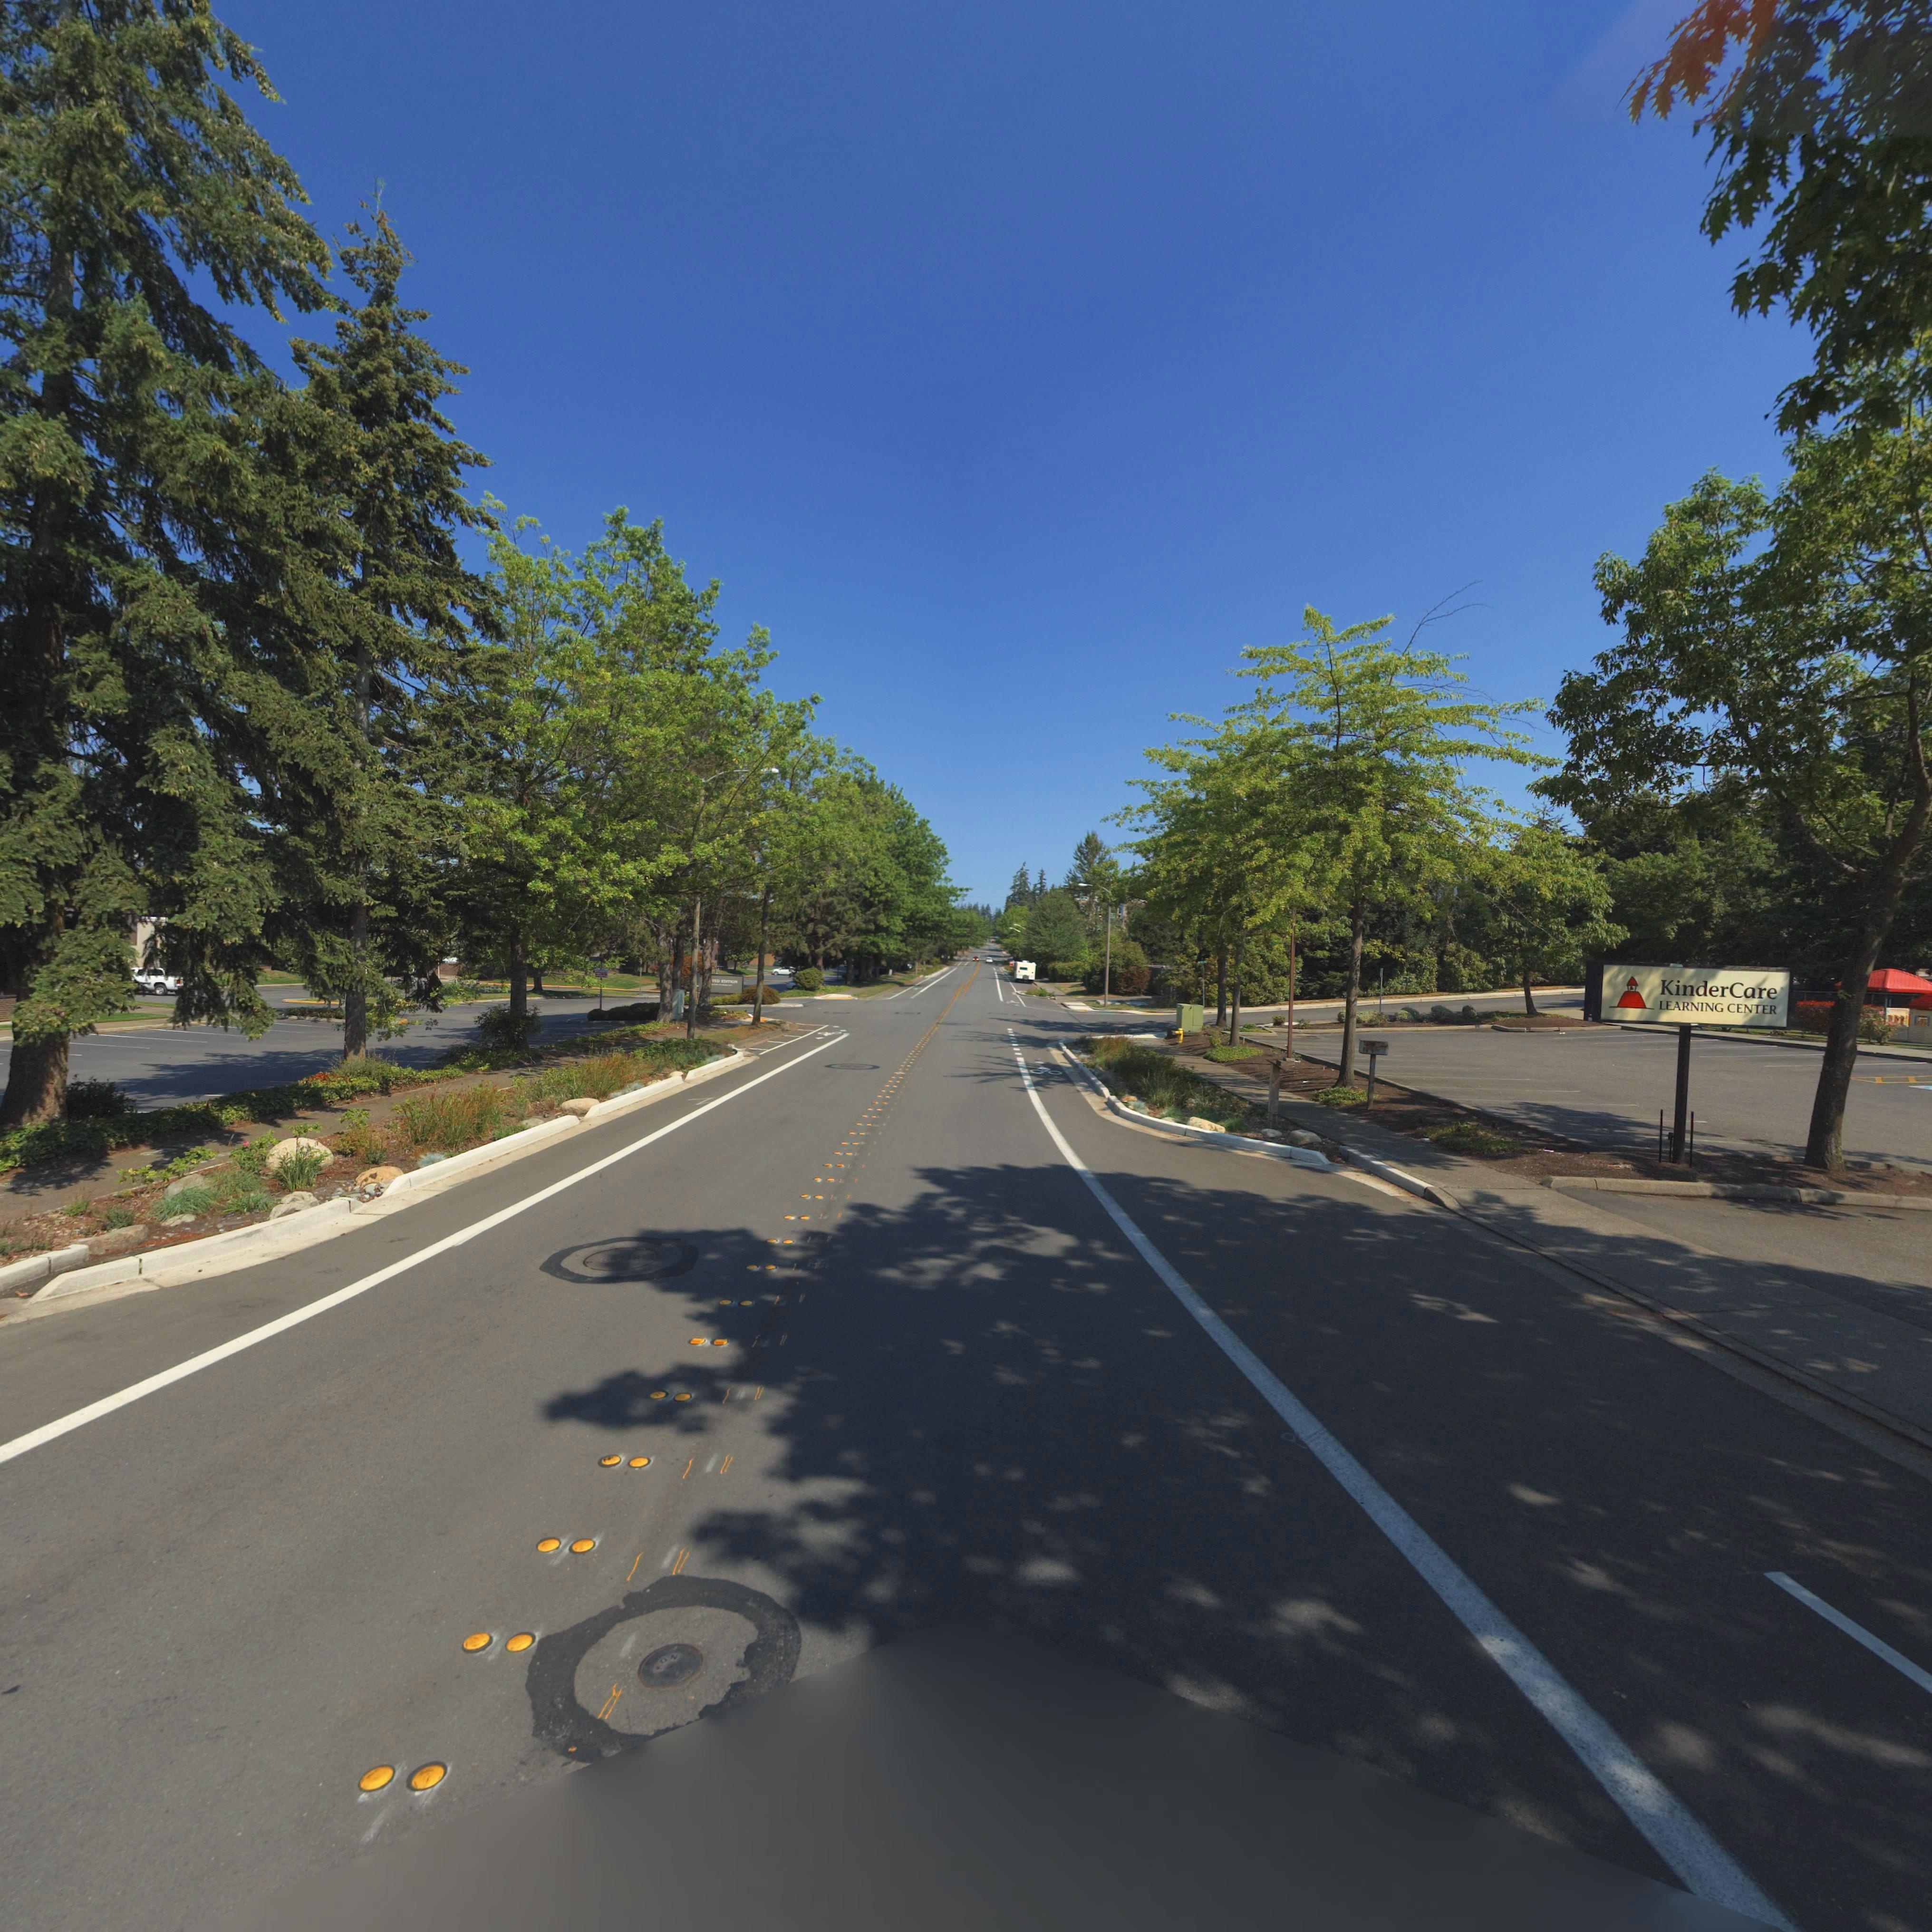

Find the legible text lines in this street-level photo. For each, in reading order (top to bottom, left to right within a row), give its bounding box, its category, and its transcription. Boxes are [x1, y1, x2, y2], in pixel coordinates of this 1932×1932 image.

[1658, 979, 1780, 1001] BusinessName: KinderCare
[1658, 1000, 1777, 1015] BusinessName: LEARNING CENTER